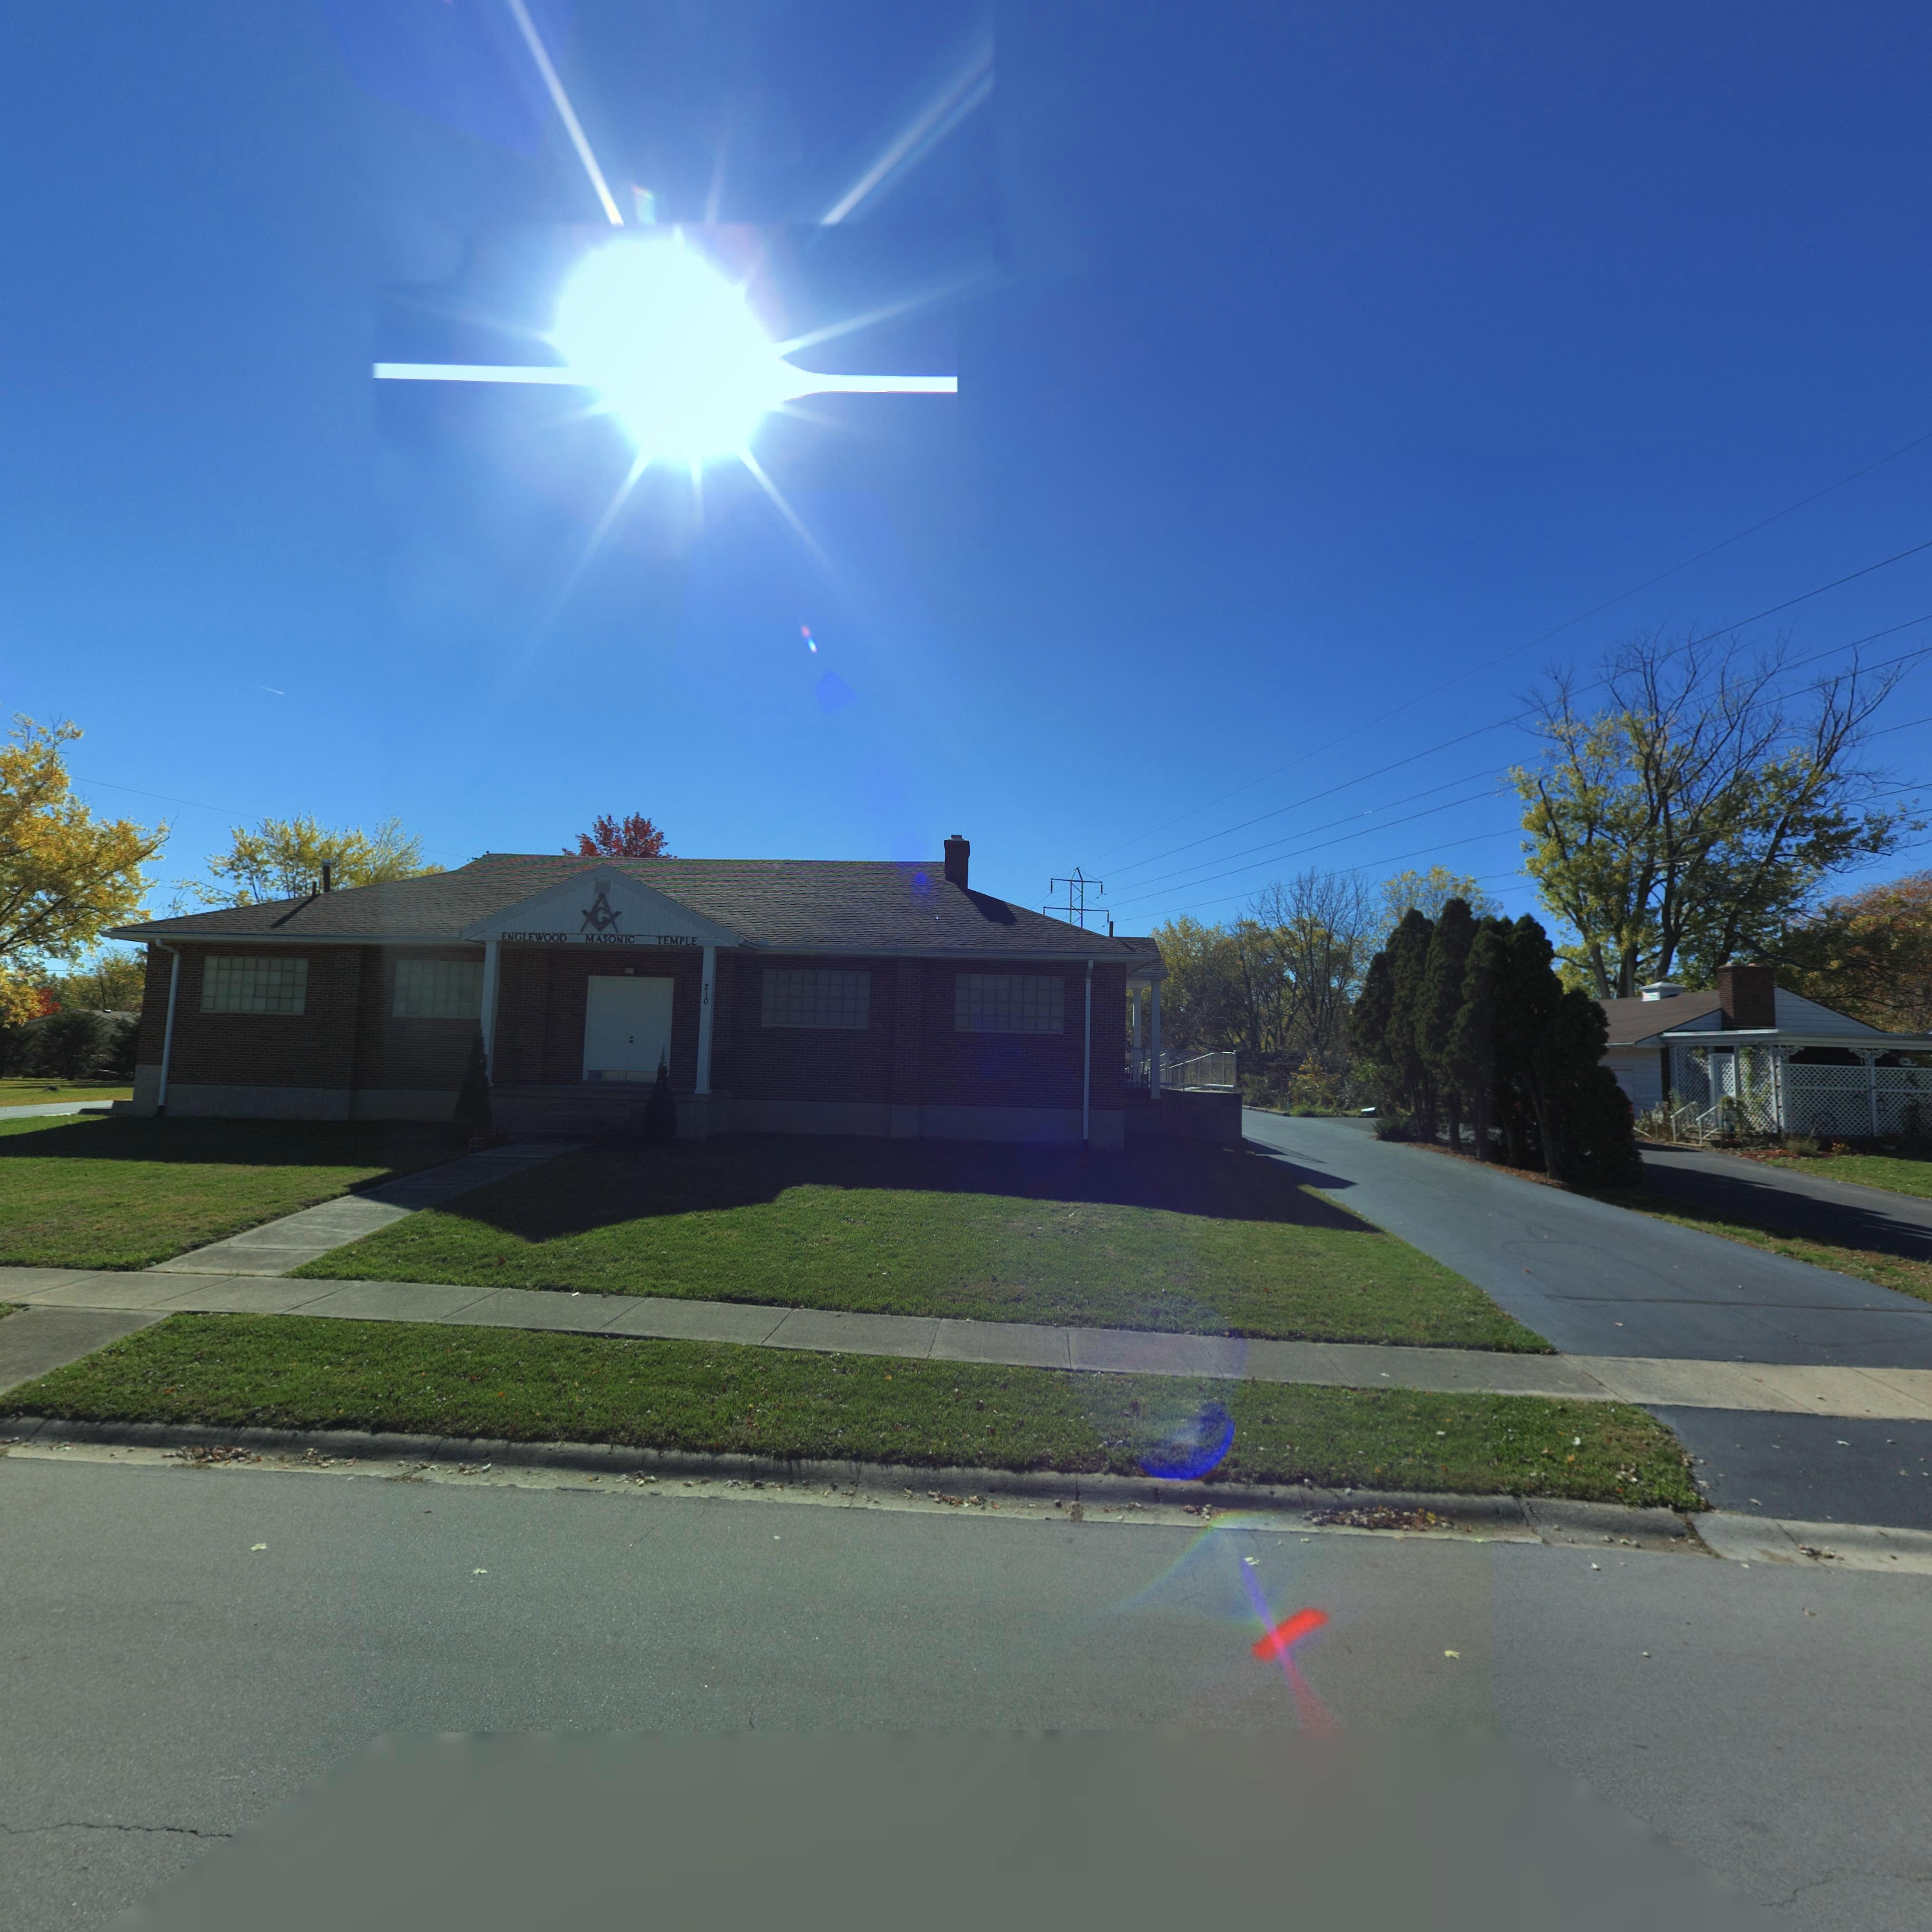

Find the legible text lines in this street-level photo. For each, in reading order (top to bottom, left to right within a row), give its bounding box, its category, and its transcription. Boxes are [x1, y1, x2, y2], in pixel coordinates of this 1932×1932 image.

[500, 931, 698, 946] BusinessName: ENGLEWOOD MASONIC TEMPLE
[703, 983, 709, 1005] StreetNumber: 210